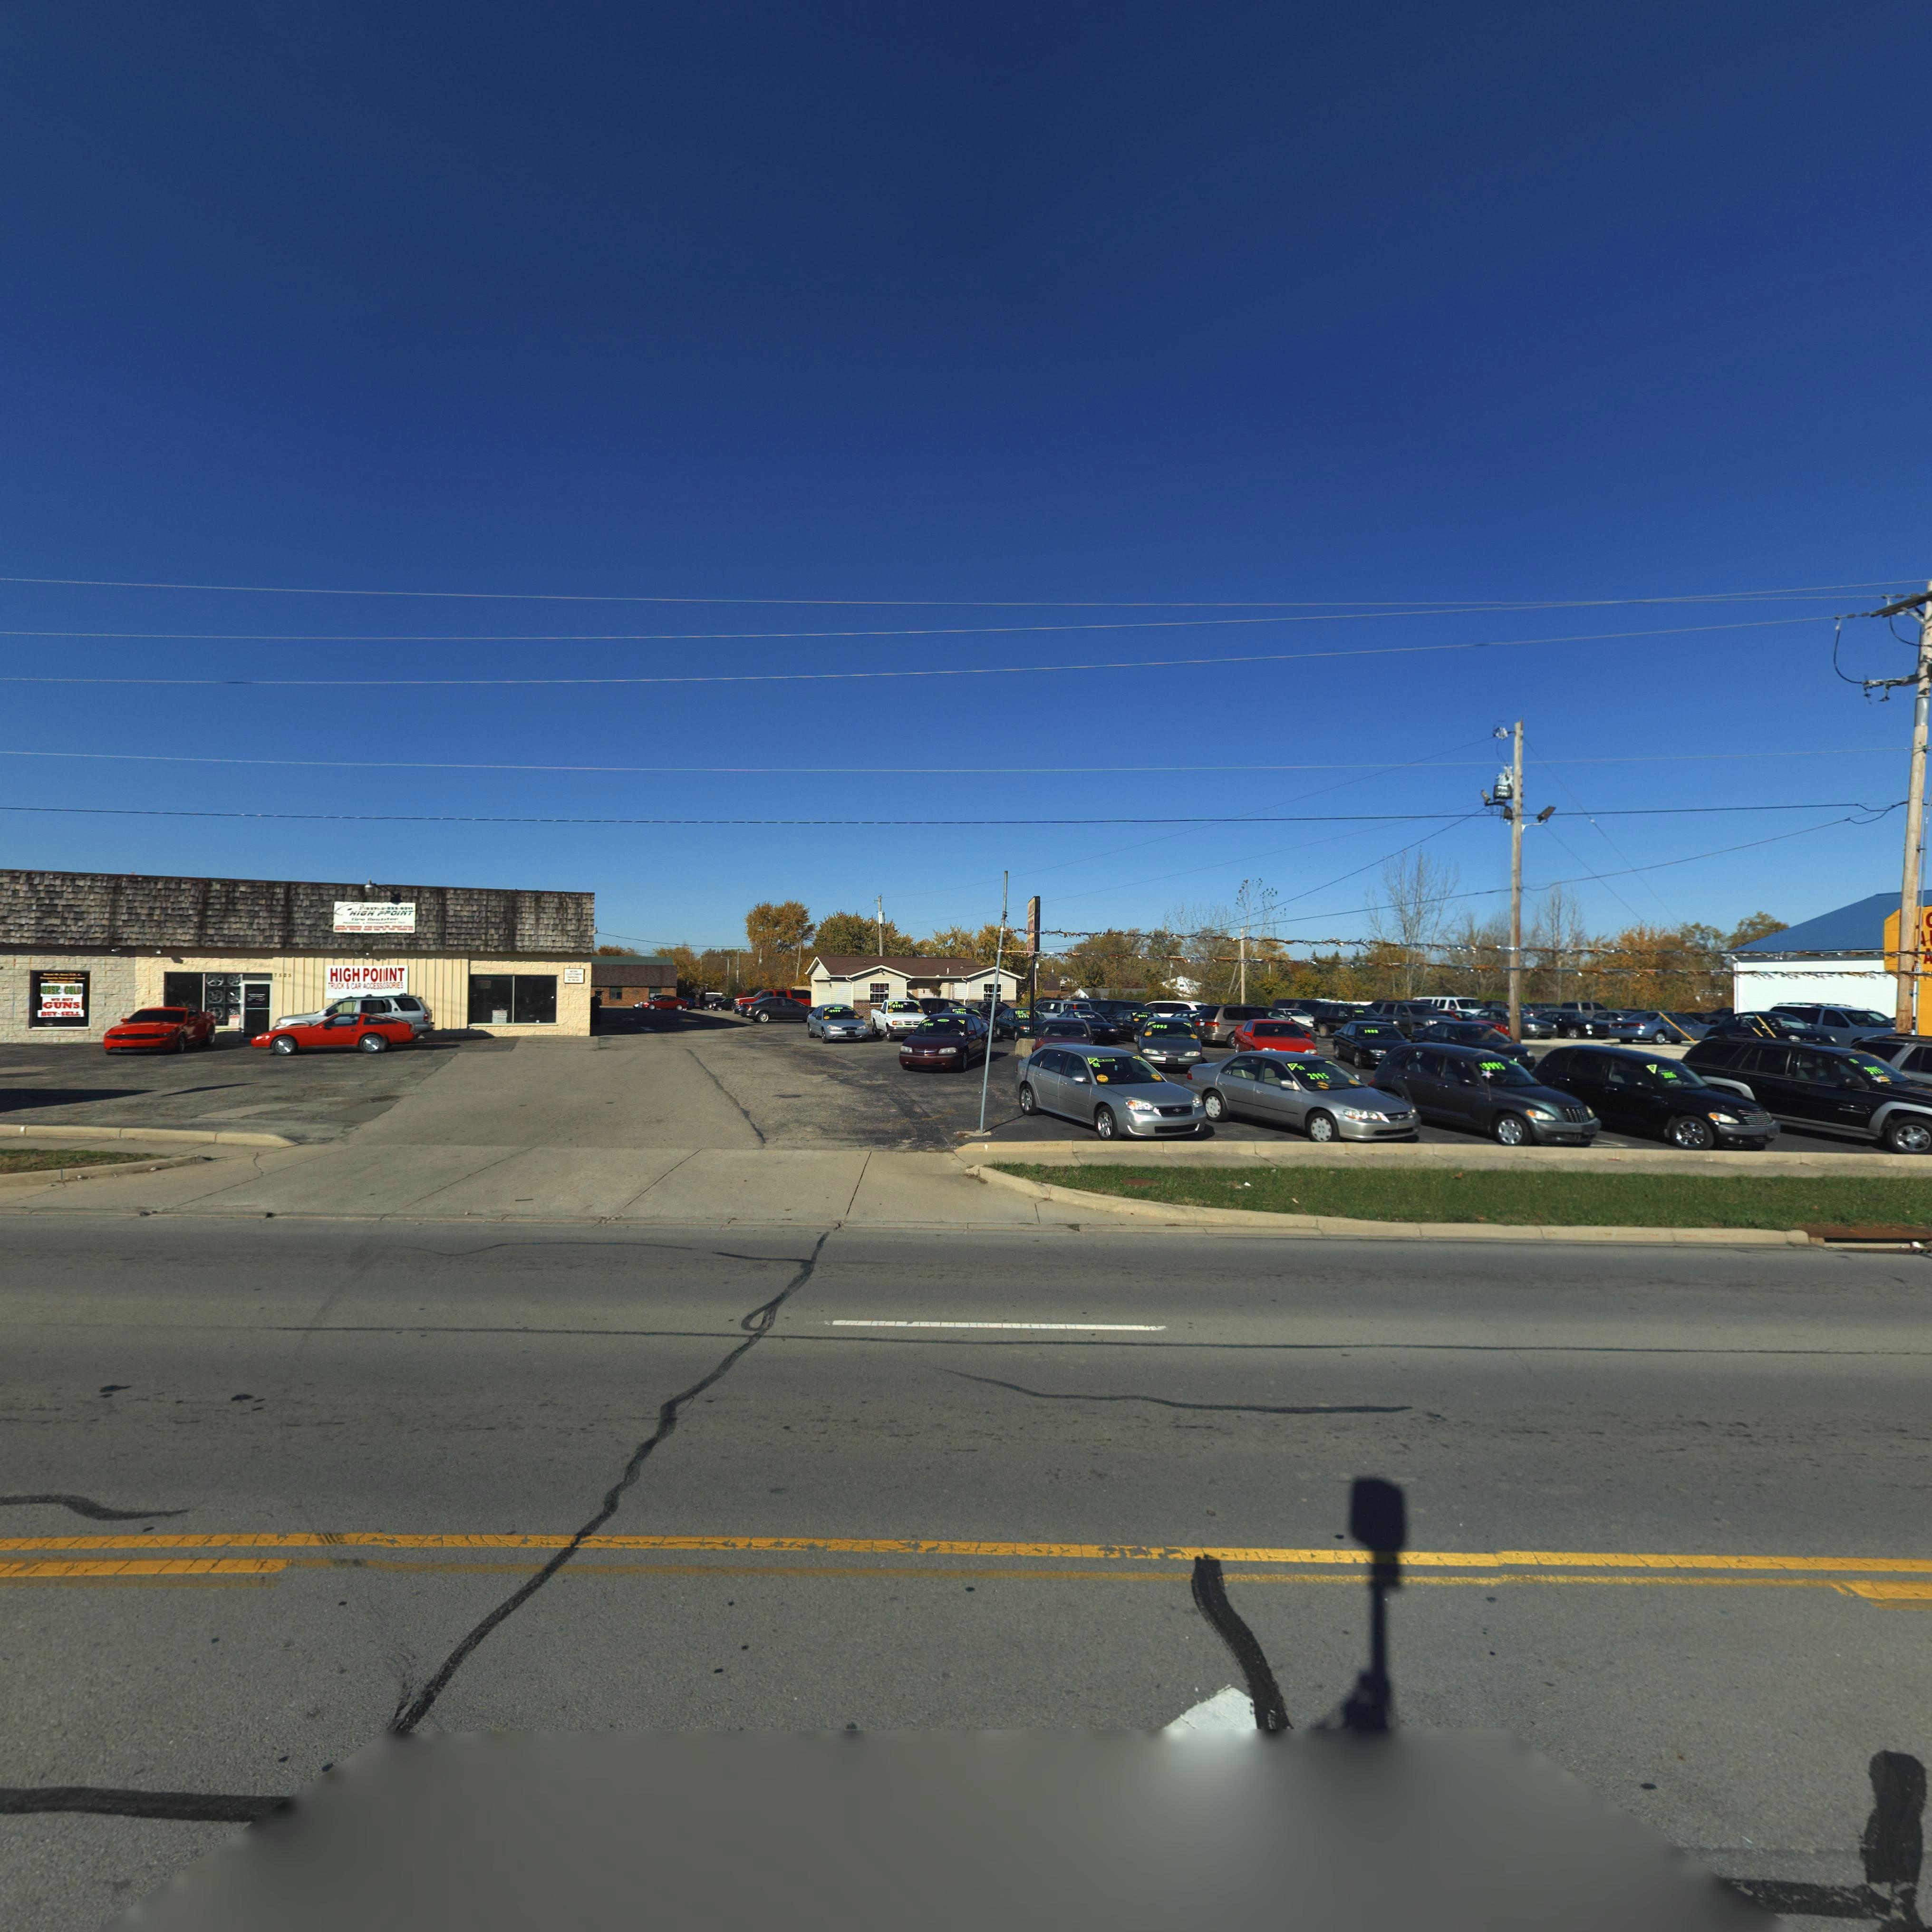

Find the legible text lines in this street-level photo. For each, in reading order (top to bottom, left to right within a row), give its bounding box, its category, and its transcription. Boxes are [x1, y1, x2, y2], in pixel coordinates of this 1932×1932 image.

[348, 909, 415, 917] BusinessName: HIGH *POINT
[273, 972, 293, 979] StreetNumber: 7***
[329, 967, 406, 983] BusinessName: HIGH POI*INT
[40, 985, 82, 995] BusinessName: CASH4GOLD
[327, 982, 404, 990] None: TRUCK & CAR ACCESS*SORIES
[42, 1001, 80, 1009] None: GUNS